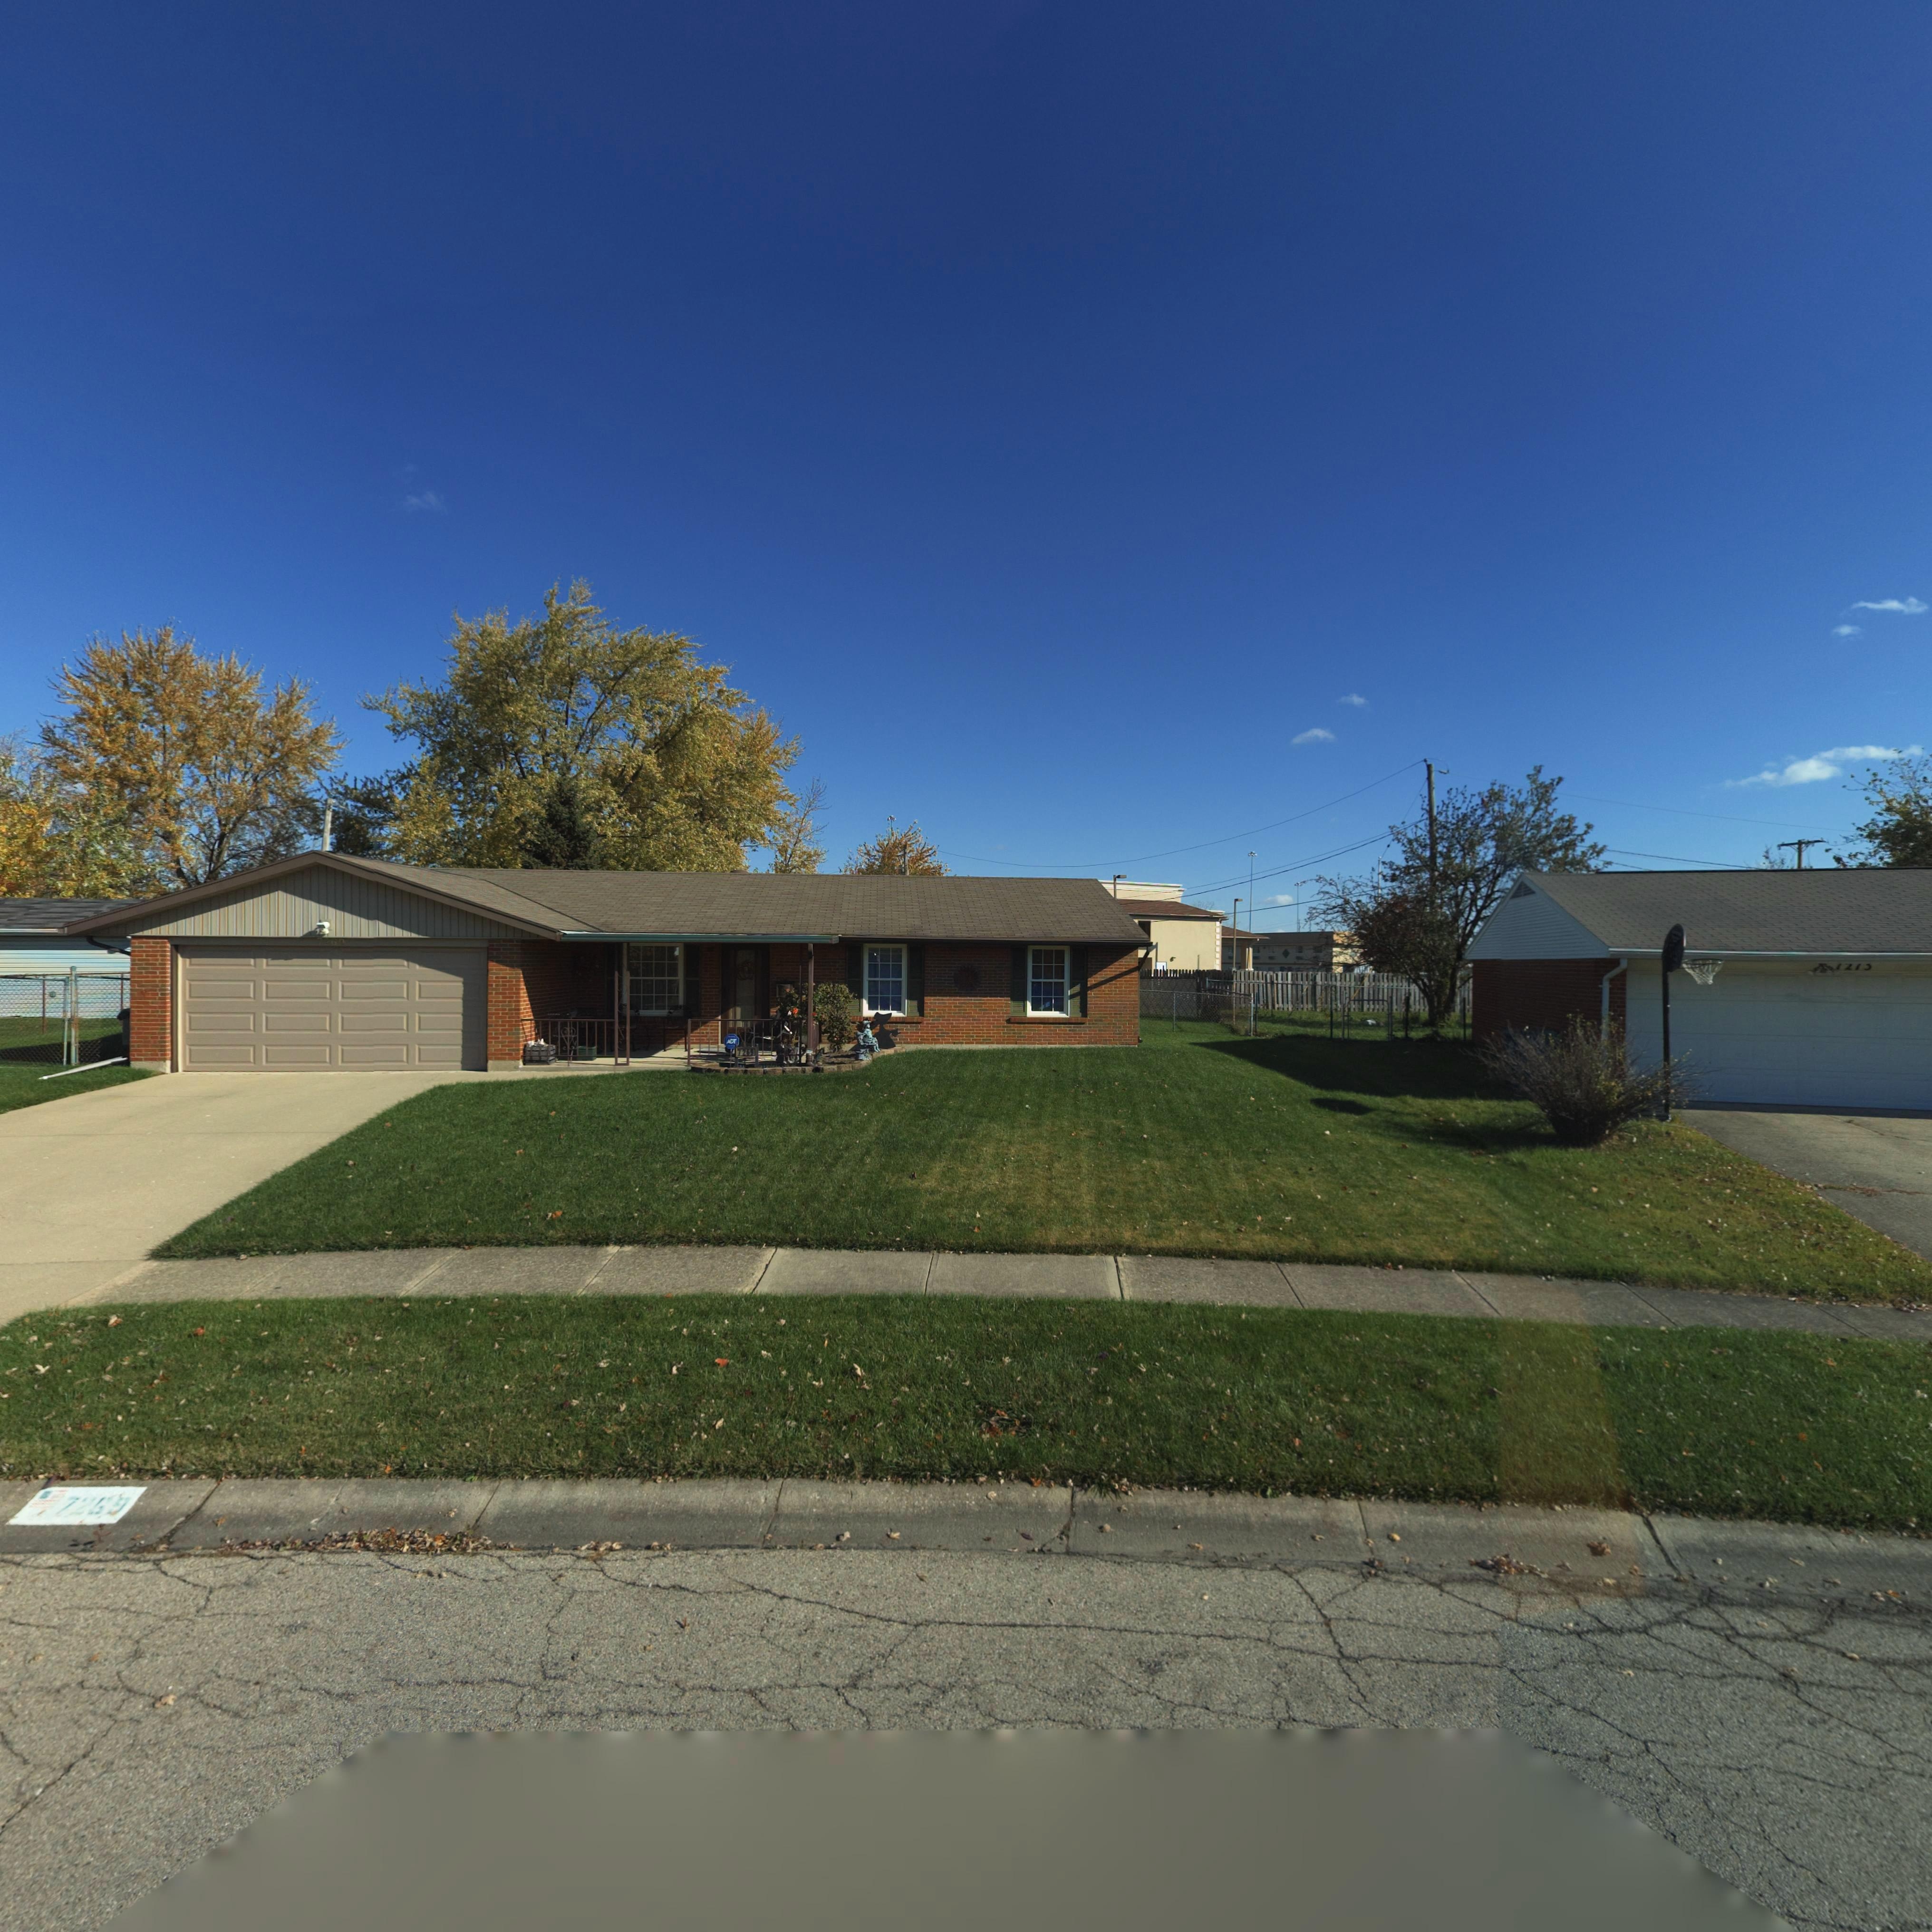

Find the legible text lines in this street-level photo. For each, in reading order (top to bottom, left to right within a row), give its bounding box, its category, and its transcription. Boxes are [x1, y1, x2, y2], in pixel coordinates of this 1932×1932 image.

[316, 937, 346, 948] StreetNumber: 7*6*
[736, 1048, 754, 1057] StreetNumber: 7269
[51, 1495, 134, 1517] StreetNumber: 7**9